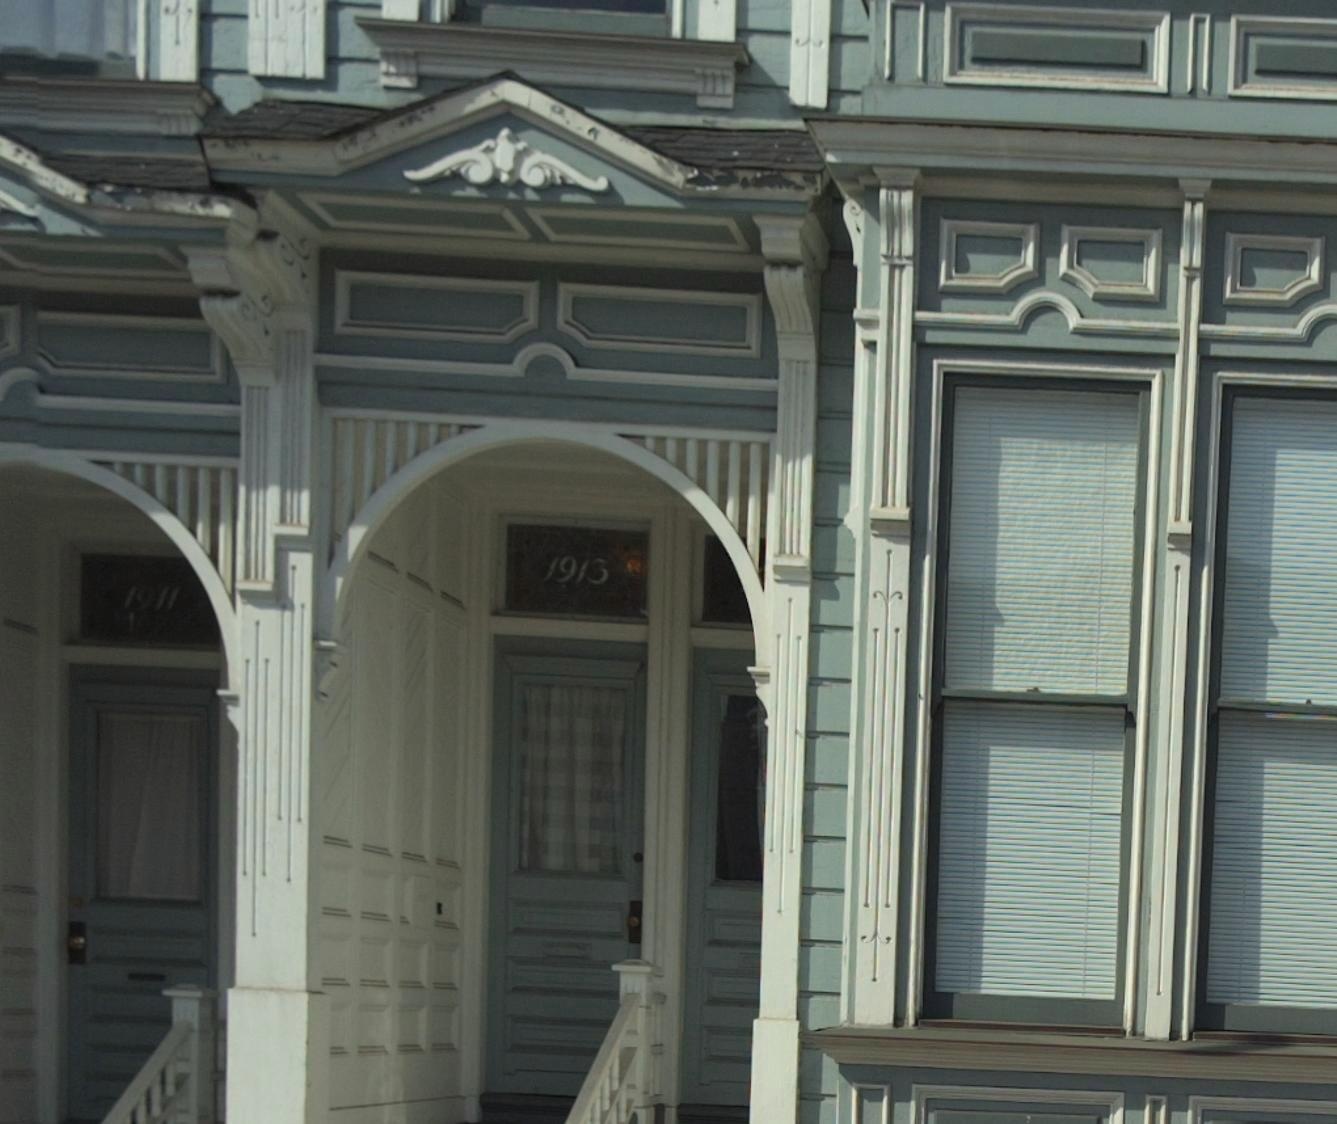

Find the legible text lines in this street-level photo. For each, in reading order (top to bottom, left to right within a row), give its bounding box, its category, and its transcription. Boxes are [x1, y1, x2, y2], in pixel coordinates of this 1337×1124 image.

[537, 551, 613, 587] StreetNumber: 1913
[116, 580, 184, 616] StreetNumber: 1911